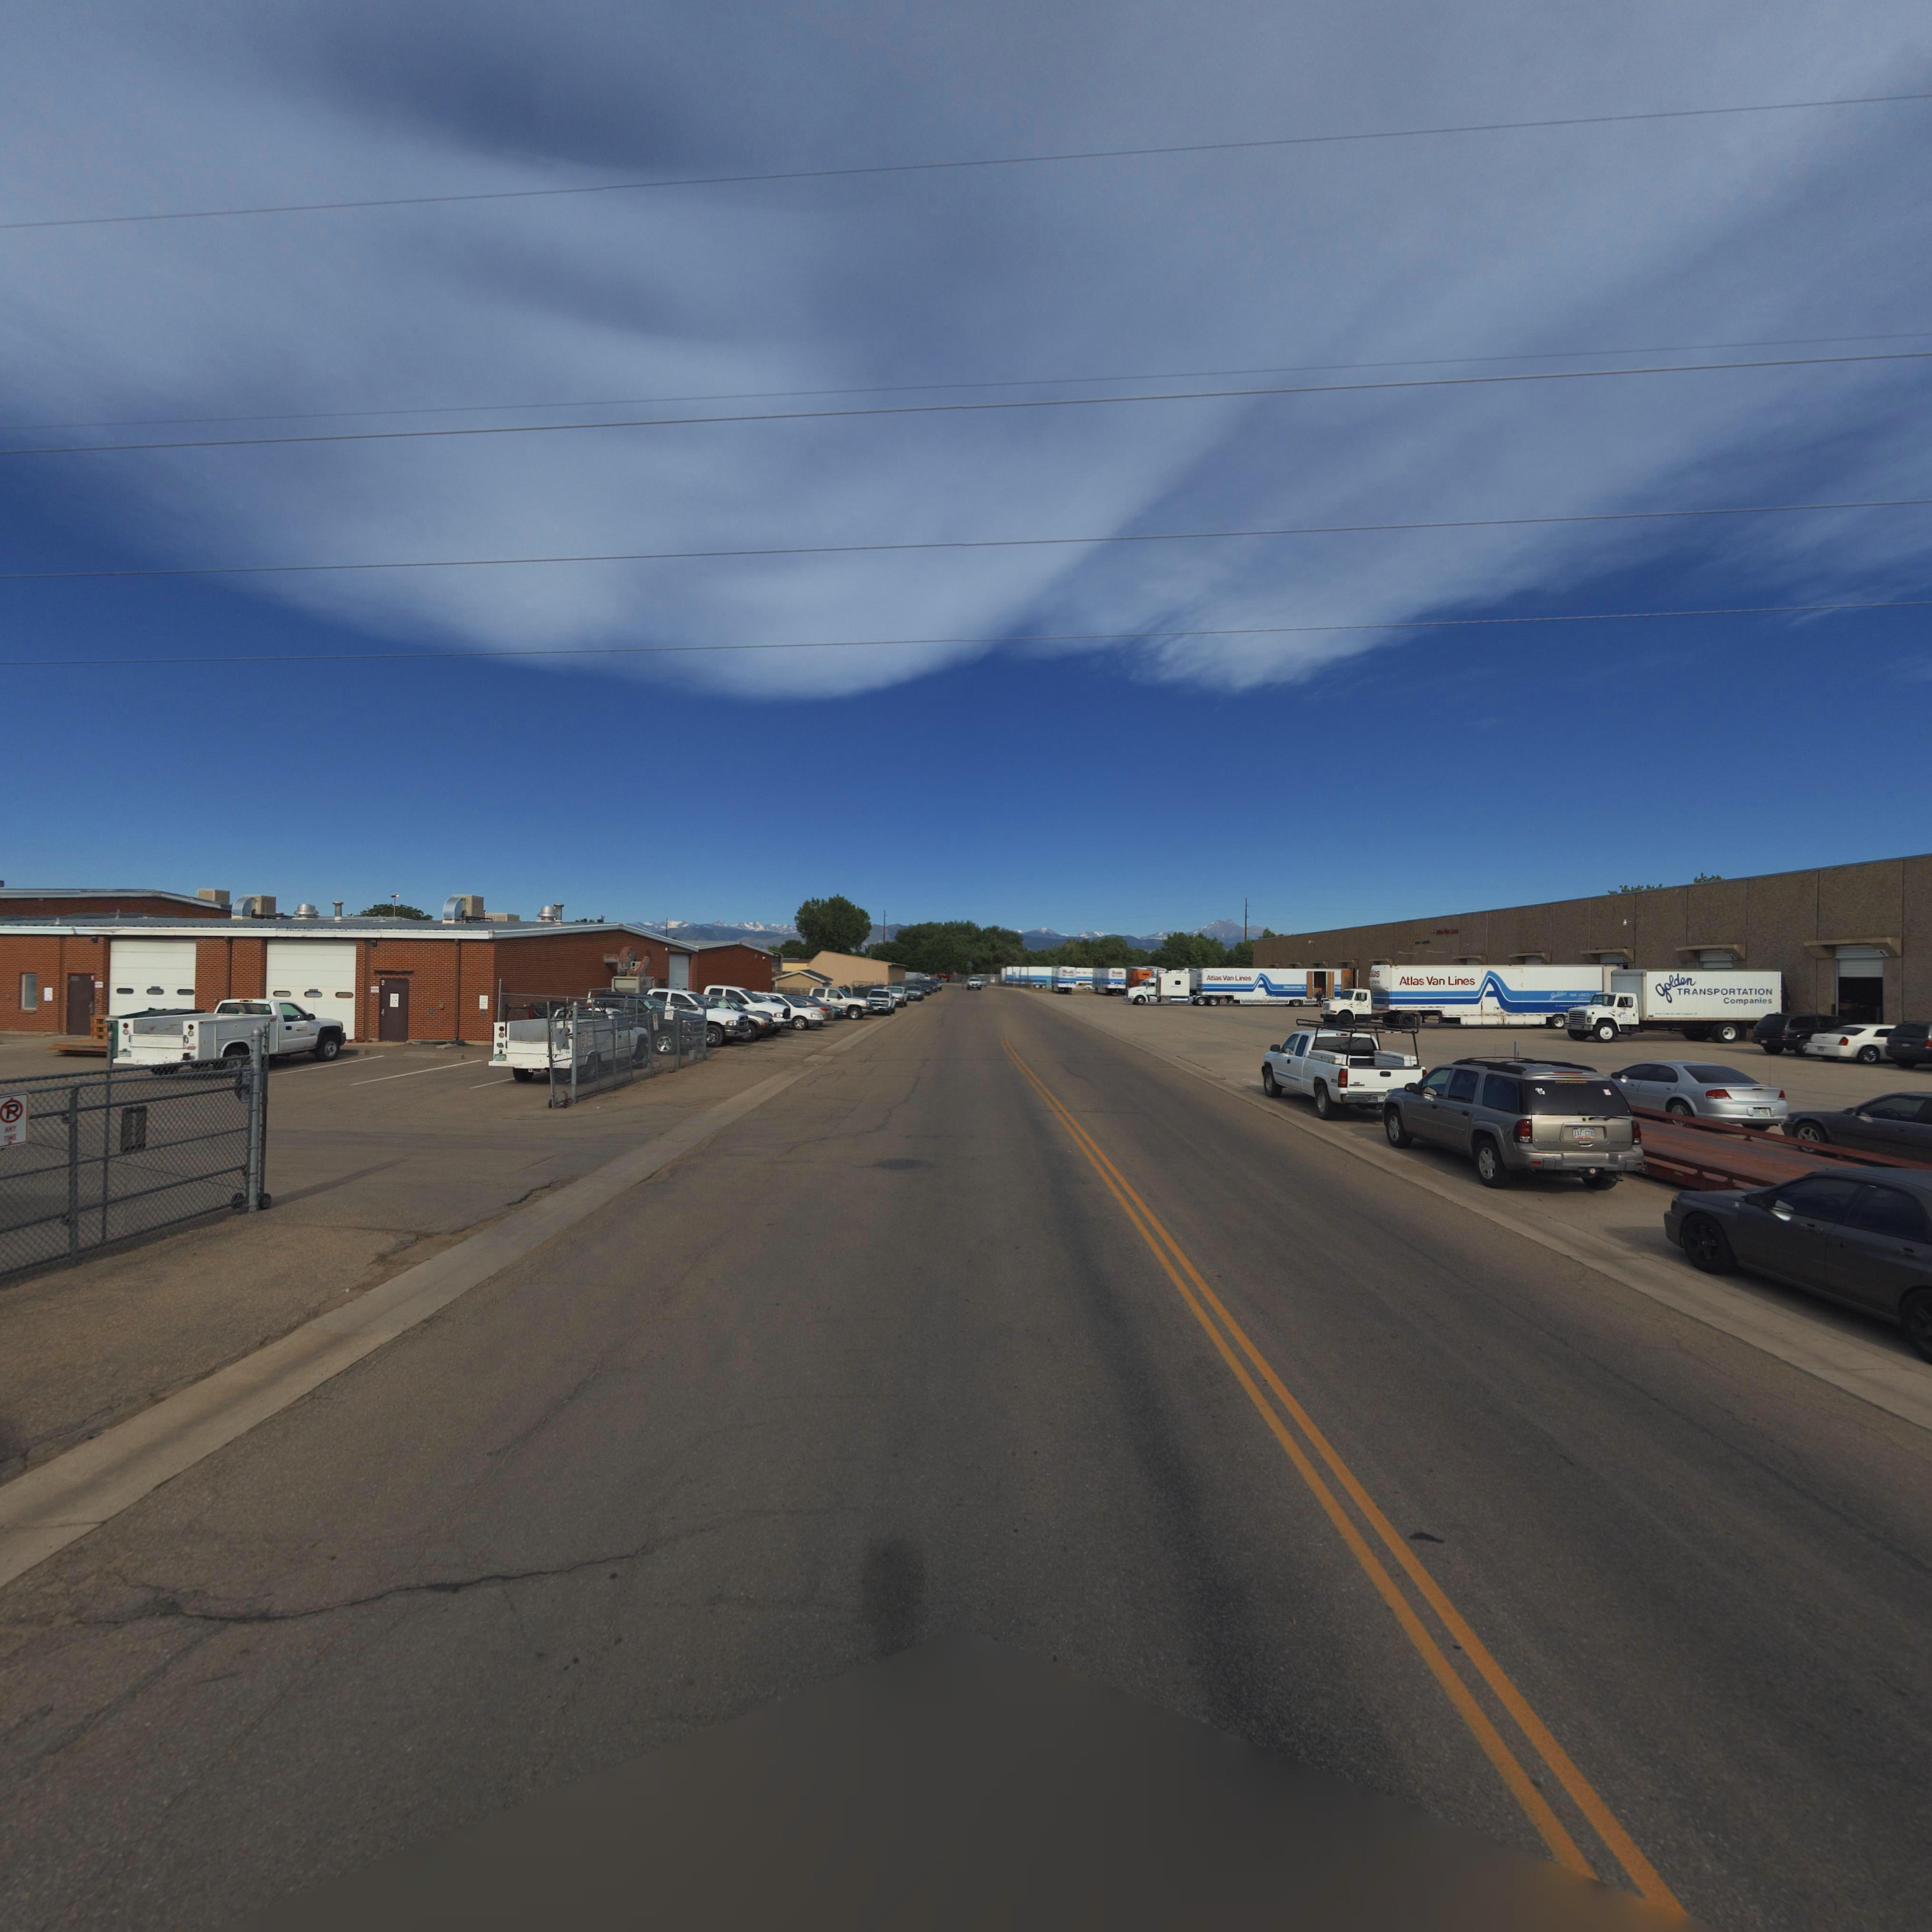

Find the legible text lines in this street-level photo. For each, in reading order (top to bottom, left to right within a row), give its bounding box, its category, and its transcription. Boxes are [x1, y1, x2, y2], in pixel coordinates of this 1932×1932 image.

[1407, 931, 1421, 948] BusinessName: g*****